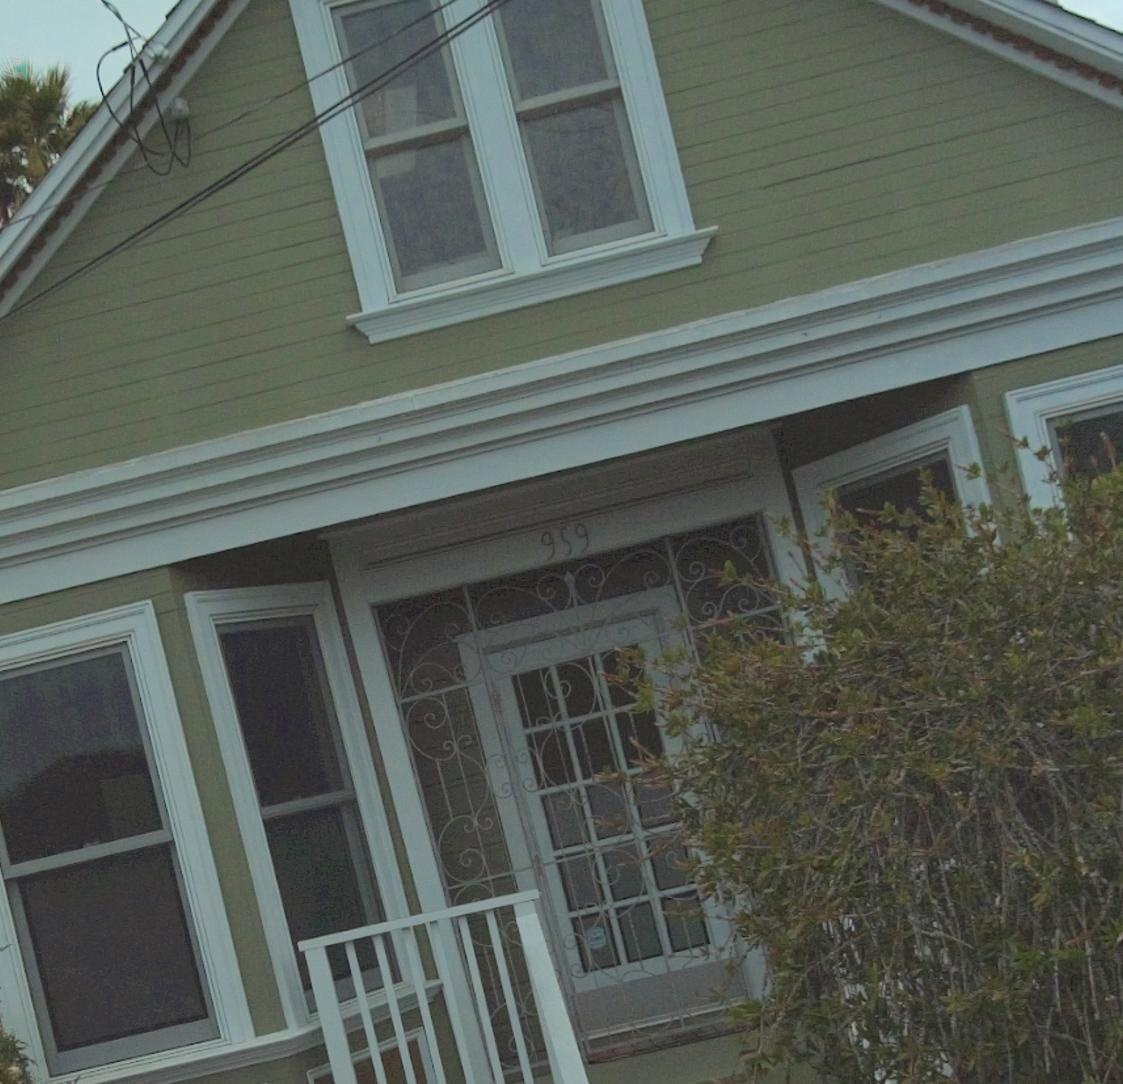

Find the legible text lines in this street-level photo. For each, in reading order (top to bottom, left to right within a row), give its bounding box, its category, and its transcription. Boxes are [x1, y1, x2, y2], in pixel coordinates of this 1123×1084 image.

[538, 521, 593, 563] StreetNumber: 959